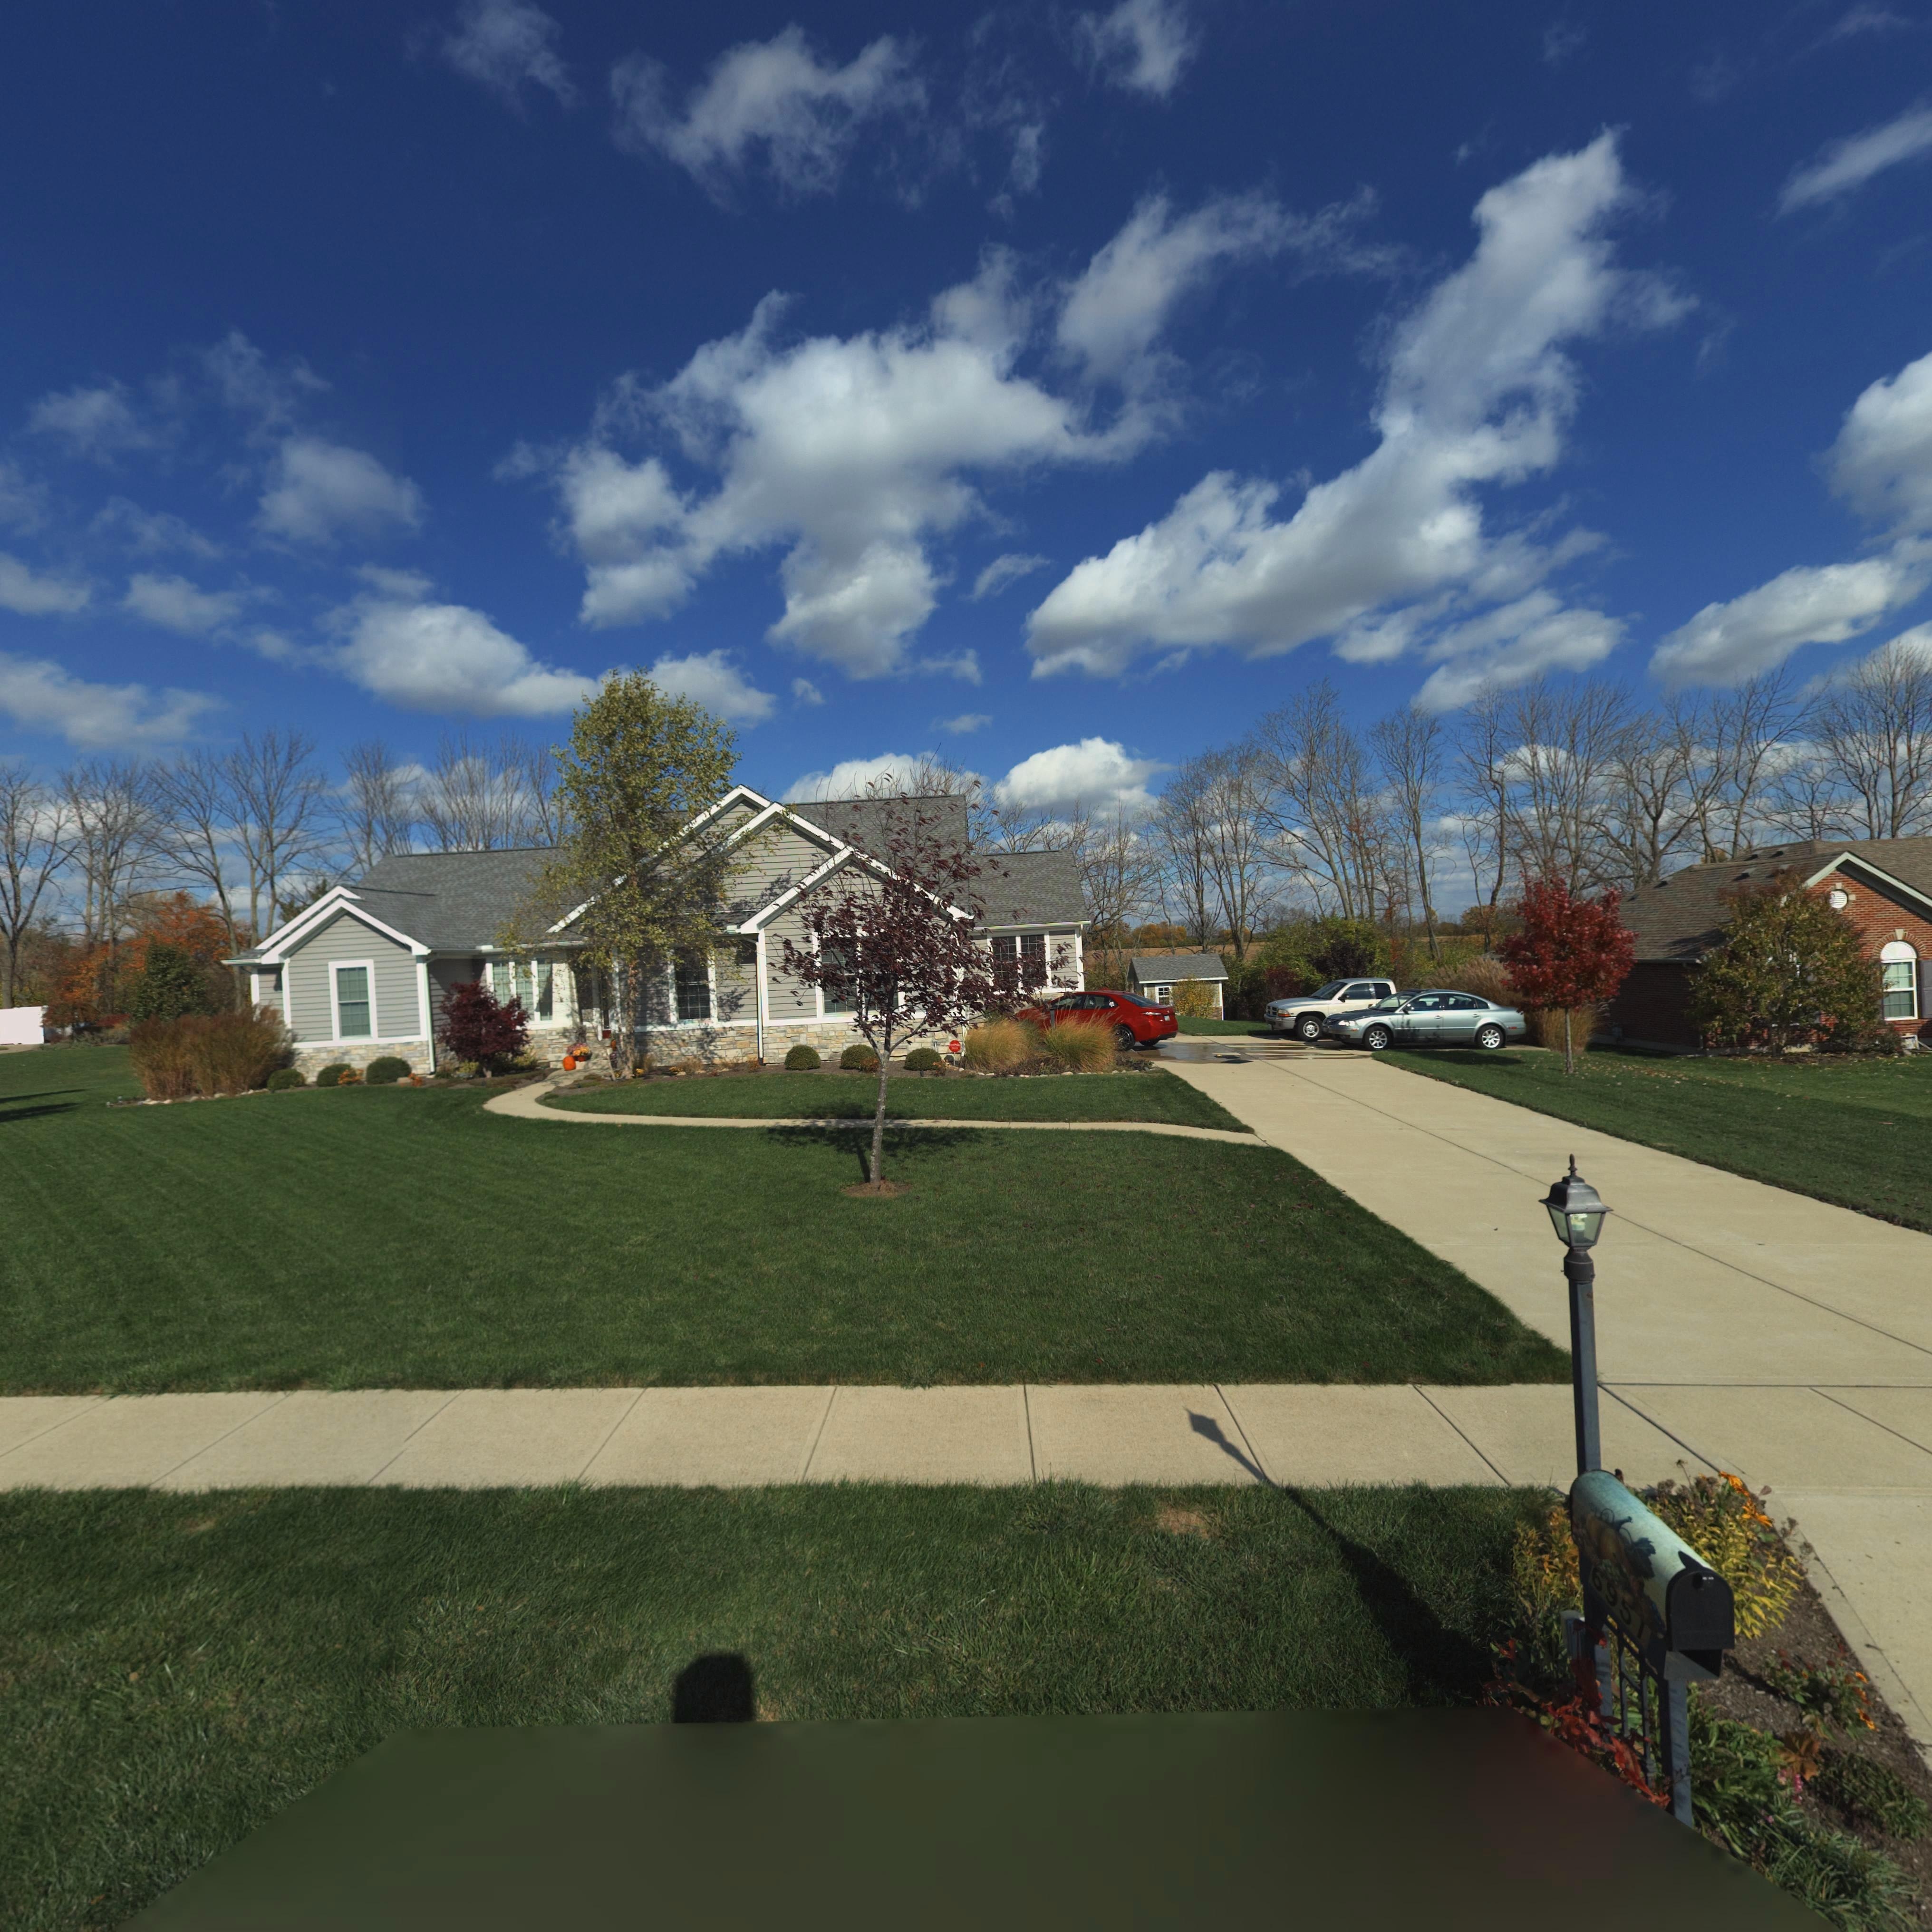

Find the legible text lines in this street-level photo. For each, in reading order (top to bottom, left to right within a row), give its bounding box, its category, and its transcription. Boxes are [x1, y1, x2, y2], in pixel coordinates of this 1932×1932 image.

[1591, 1565, 1647, 1643] StreetNumber: 6951